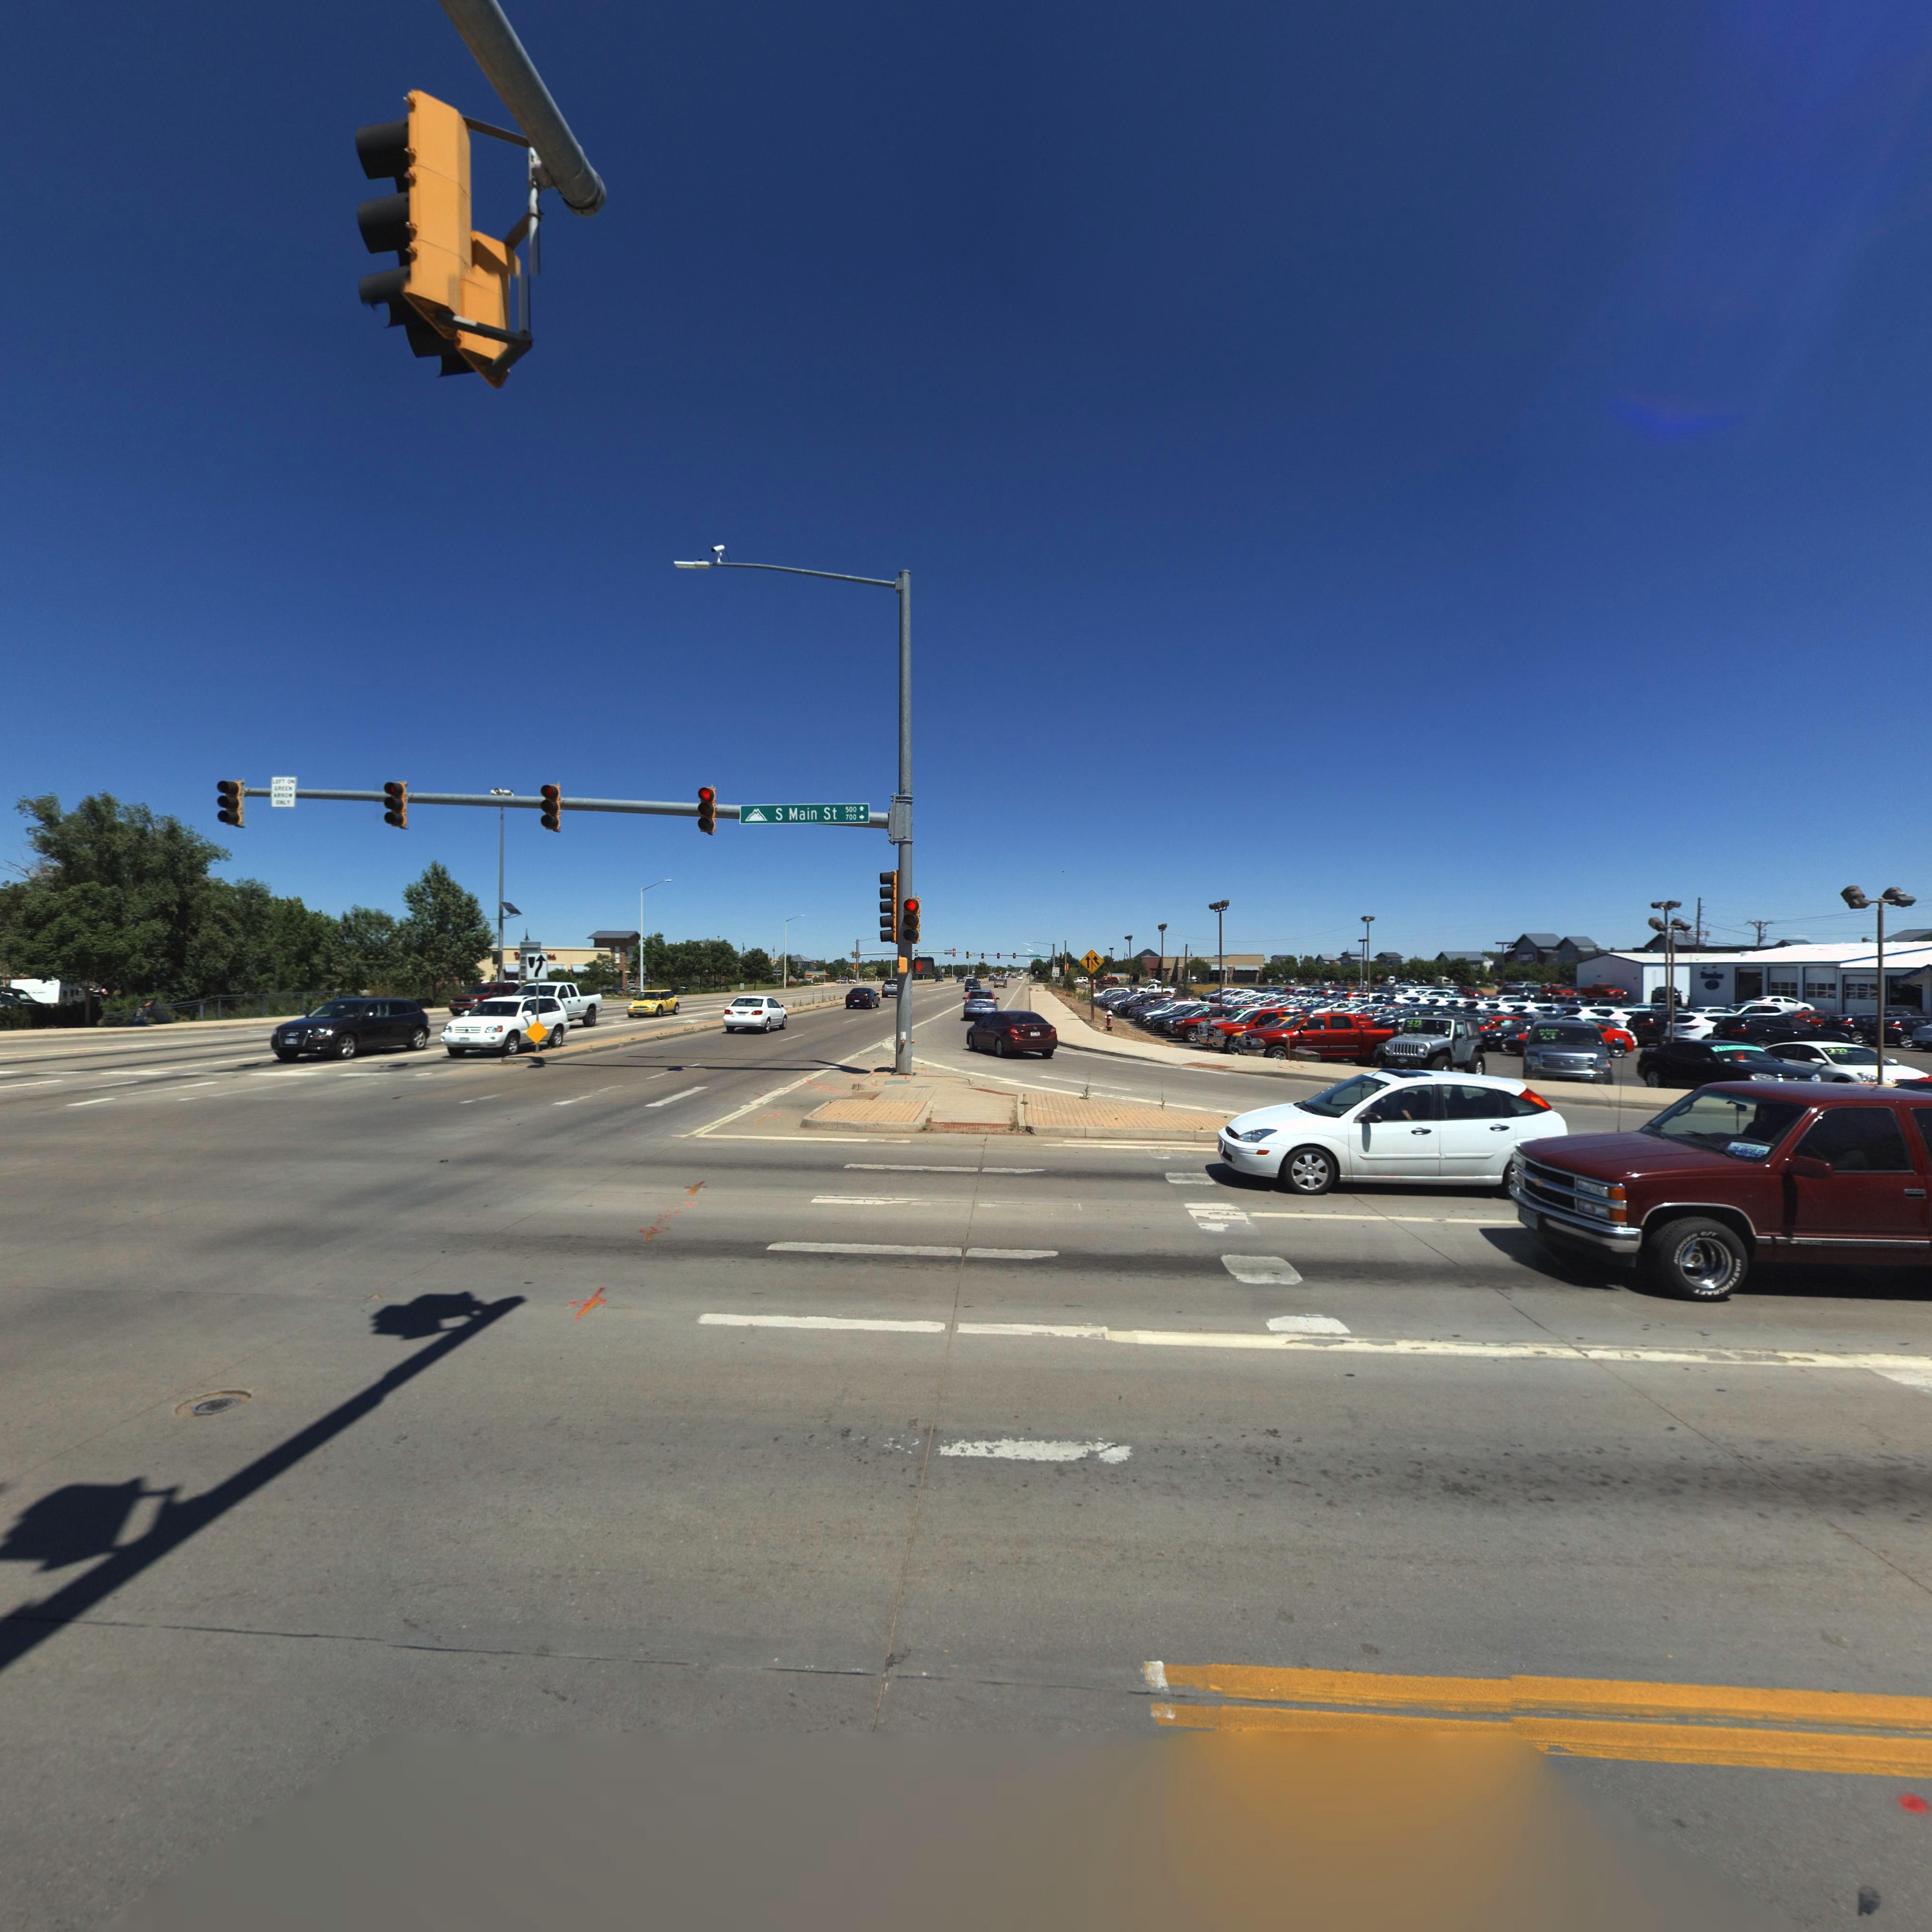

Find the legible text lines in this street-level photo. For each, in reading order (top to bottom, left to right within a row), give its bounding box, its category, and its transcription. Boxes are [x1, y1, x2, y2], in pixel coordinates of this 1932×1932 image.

[774, 806, 838, 821] StreetName: S Main St
[845, 805, 857, 813] StreetNumberRange: 500
[845, 814, 865, 820] StreetNumberRange: 700 ->
[1700, 971, 1724, 979] BusinessName: S*****